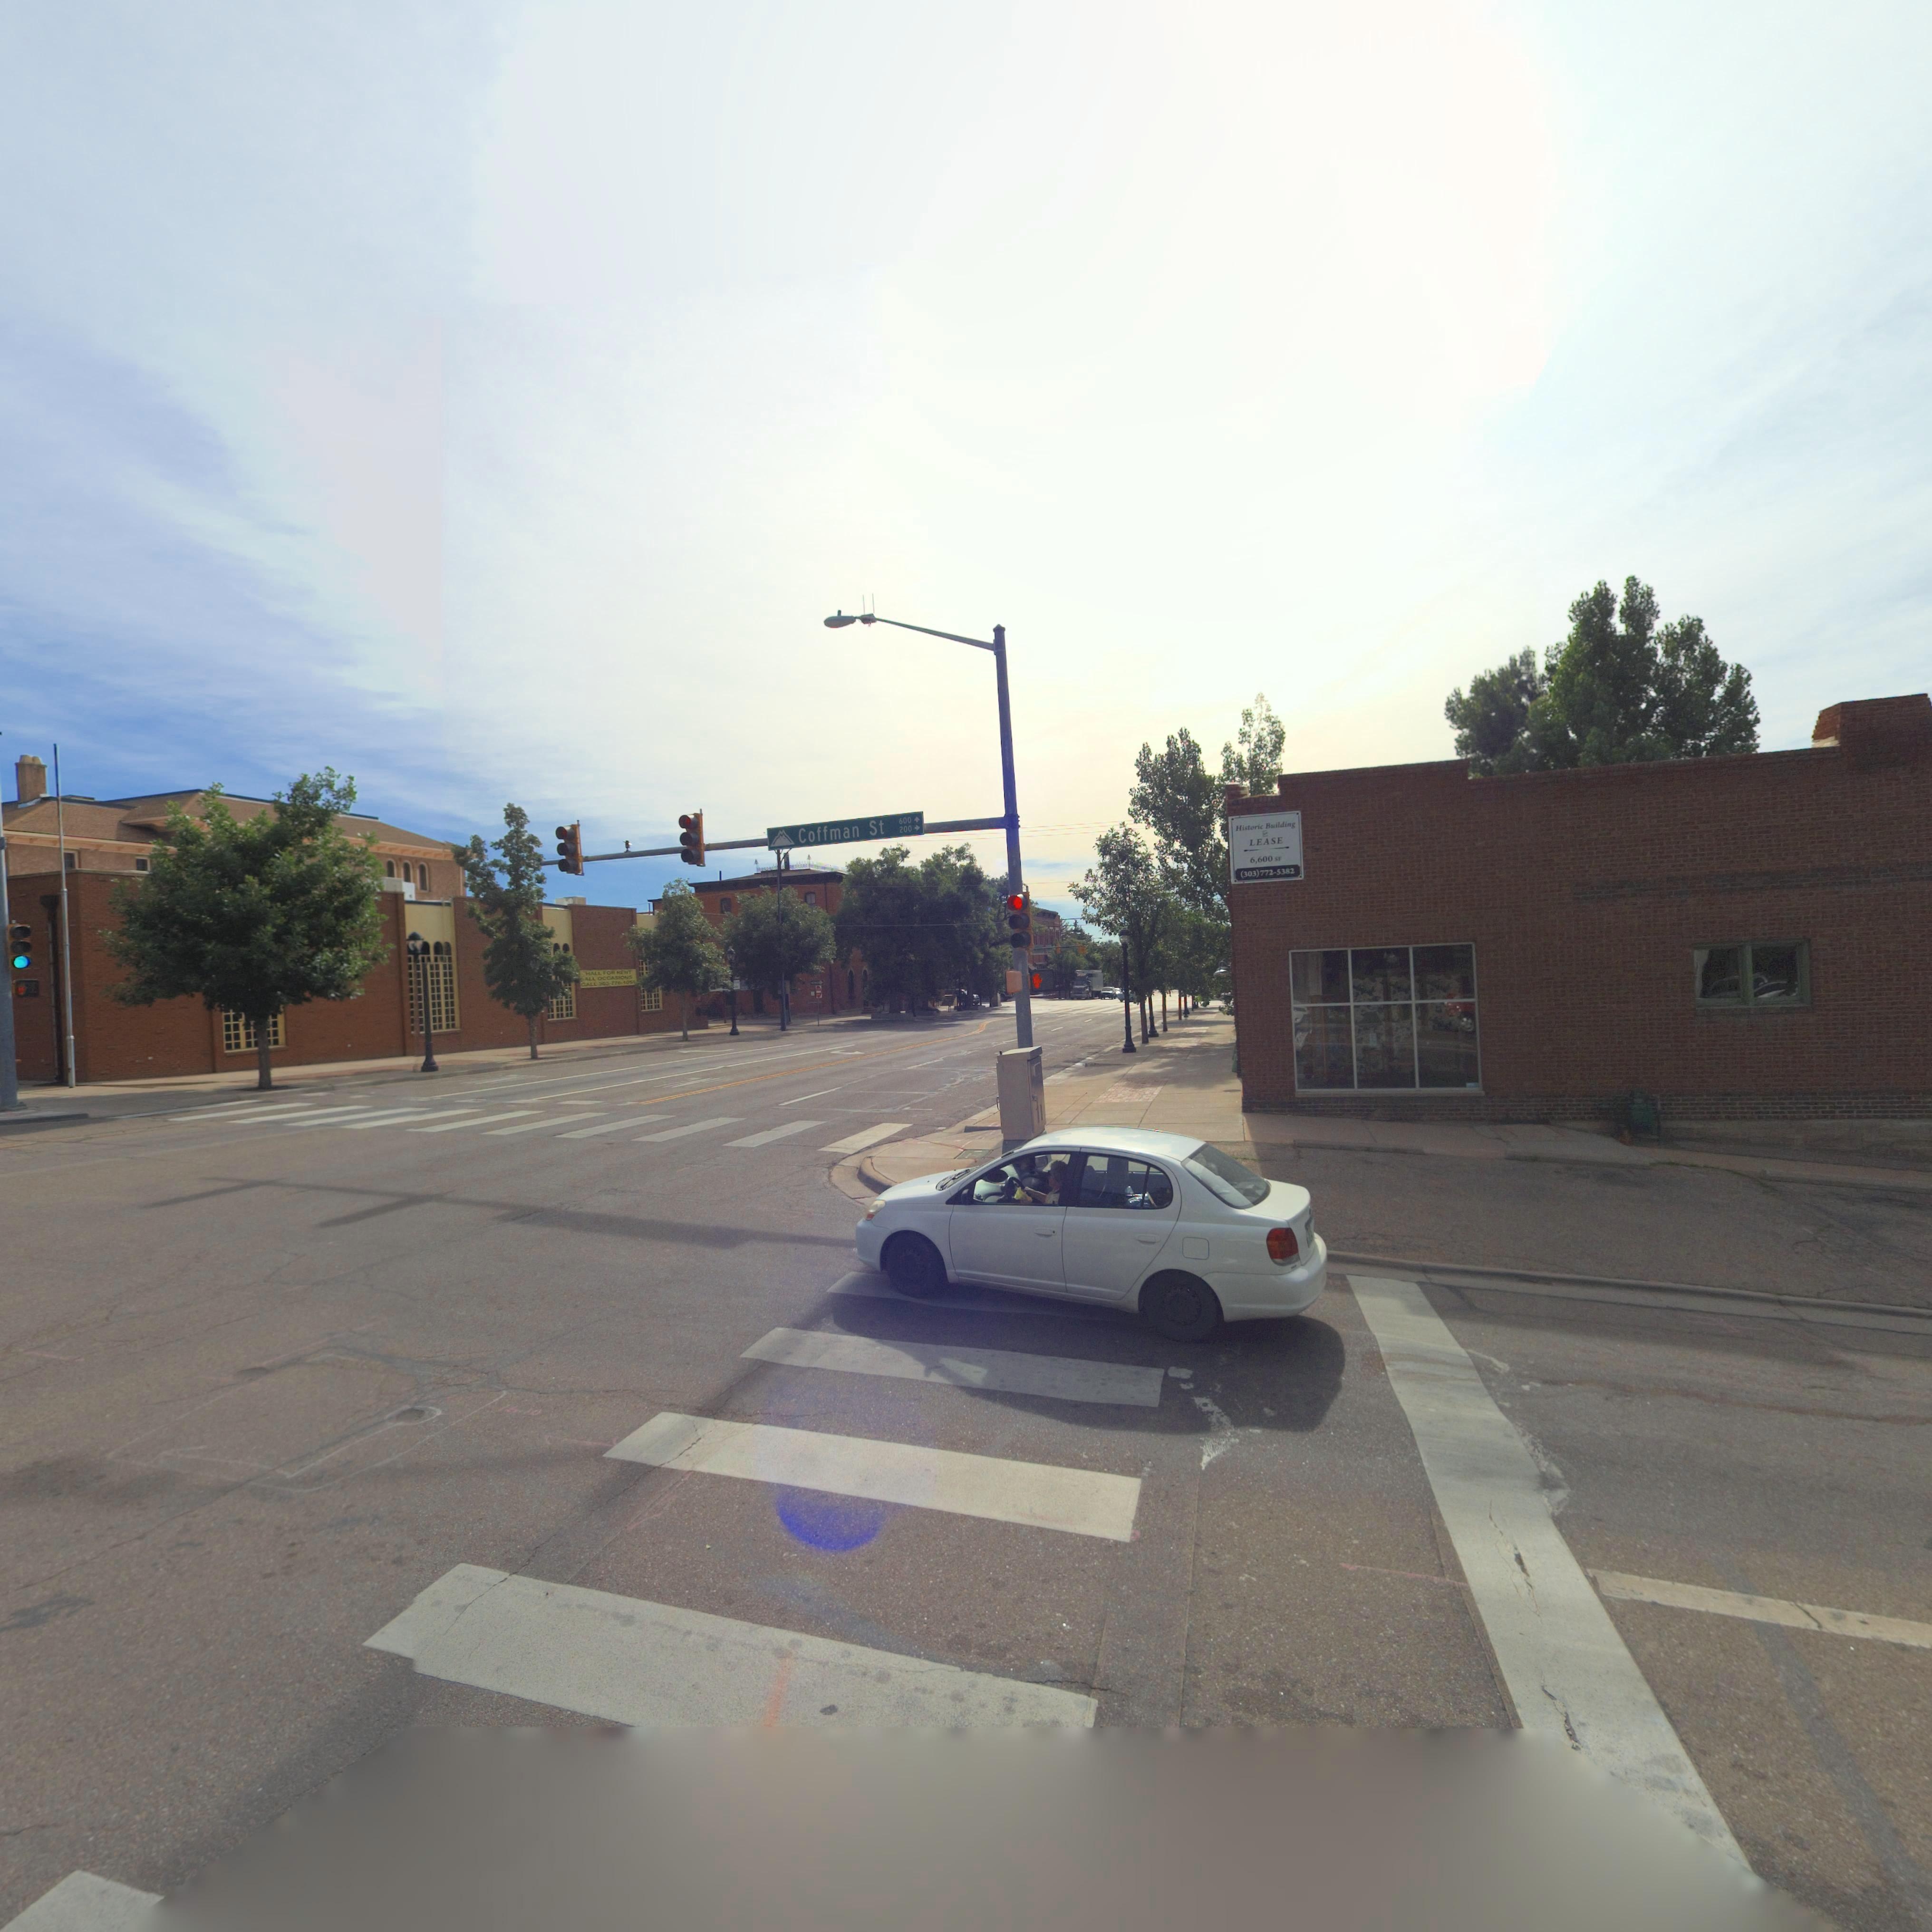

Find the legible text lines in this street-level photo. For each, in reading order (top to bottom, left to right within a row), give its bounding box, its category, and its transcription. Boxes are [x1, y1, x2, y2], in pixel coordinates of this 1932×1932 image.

[897, 815, 913, 825] StreetNumber: 600
[797, 818, 886, 844] StreetName: Coffman St
[898, 823, 922, 833] StreetNumberRange: 200->